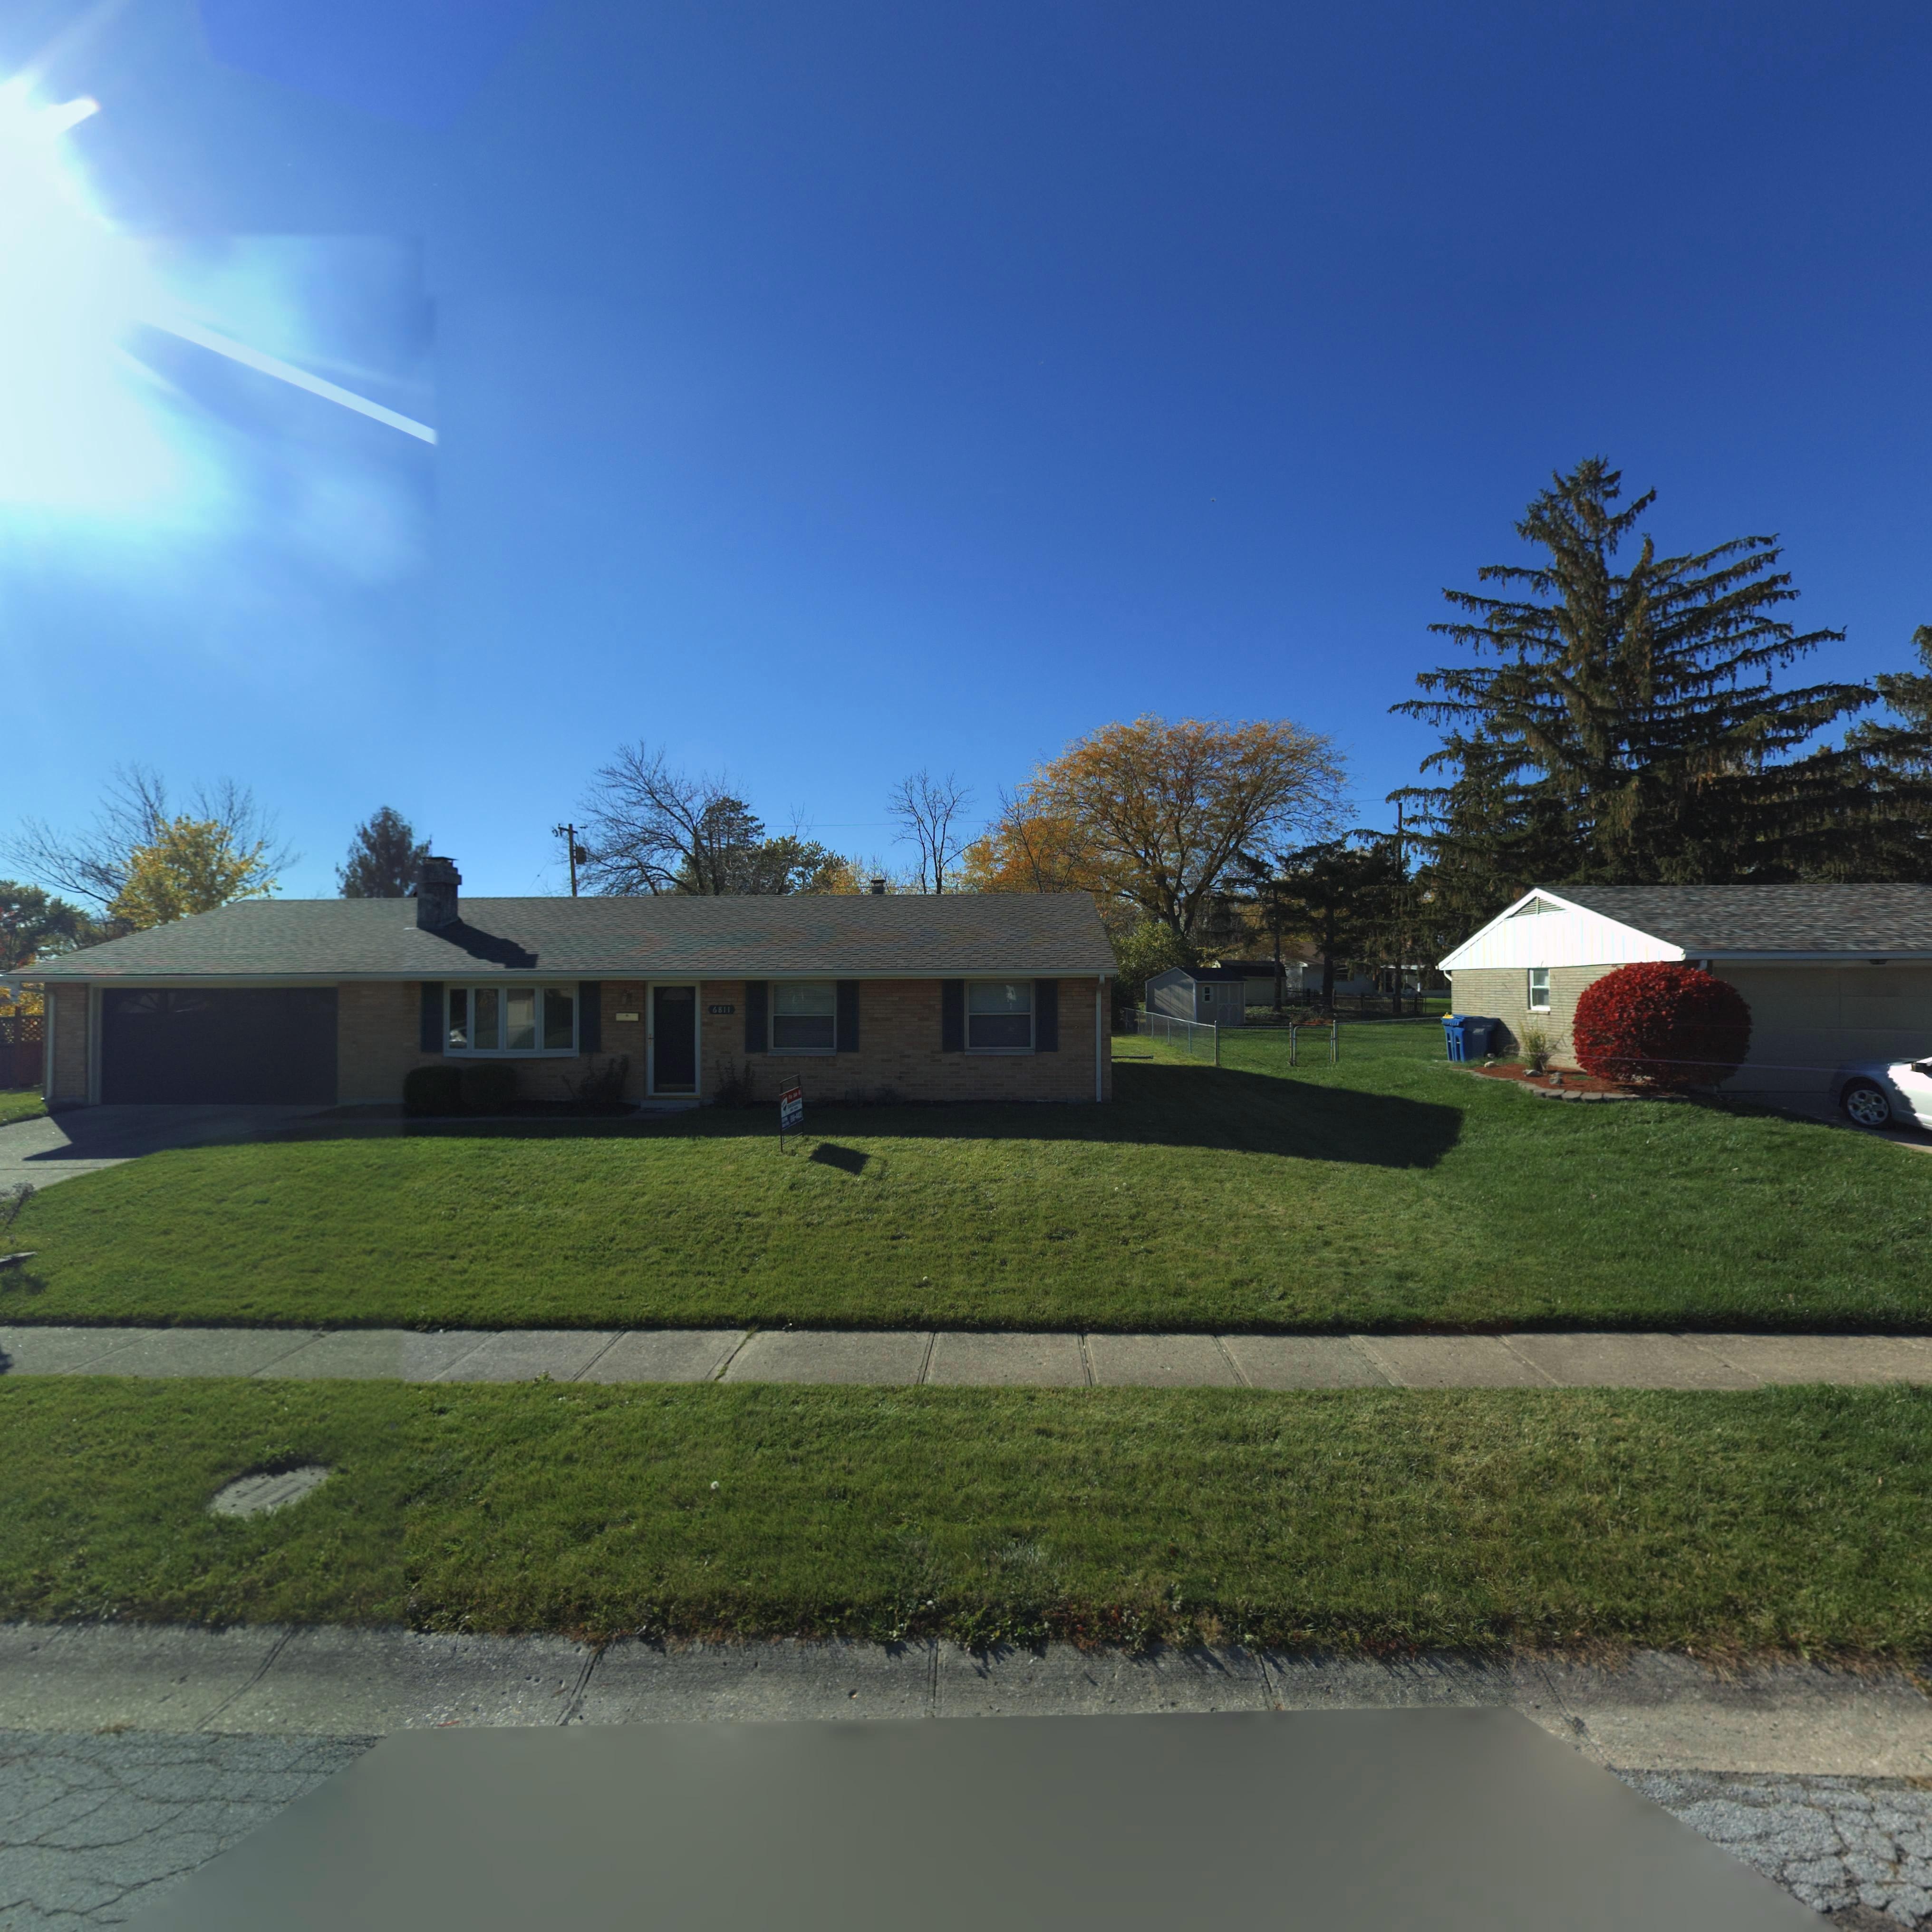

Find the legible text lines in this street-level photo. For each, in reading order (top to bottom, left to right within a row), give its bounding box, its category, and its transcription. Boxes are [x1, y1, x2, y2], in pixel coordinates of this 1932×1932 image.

[712, 1006, 730, 1014] StreetNumber: 6811